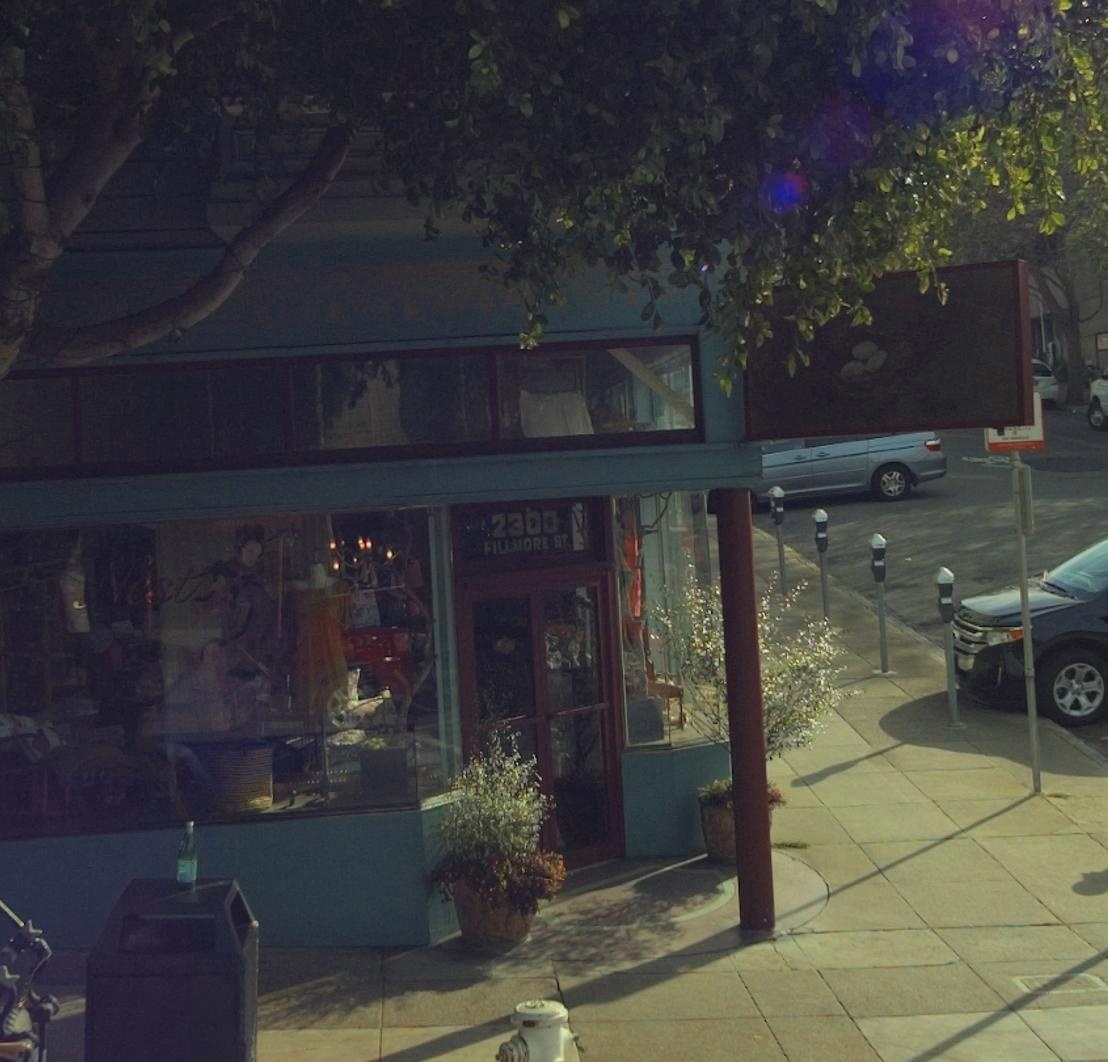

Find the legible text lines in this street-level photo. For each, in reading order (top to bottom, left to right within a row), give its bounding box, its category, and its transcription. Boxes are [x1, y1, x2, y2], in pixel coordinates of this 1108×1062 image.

[488, 507, 561, 541] StreetNumber: 2300
[481, 531, 570, 559] StreetName: FILLMORE ST.